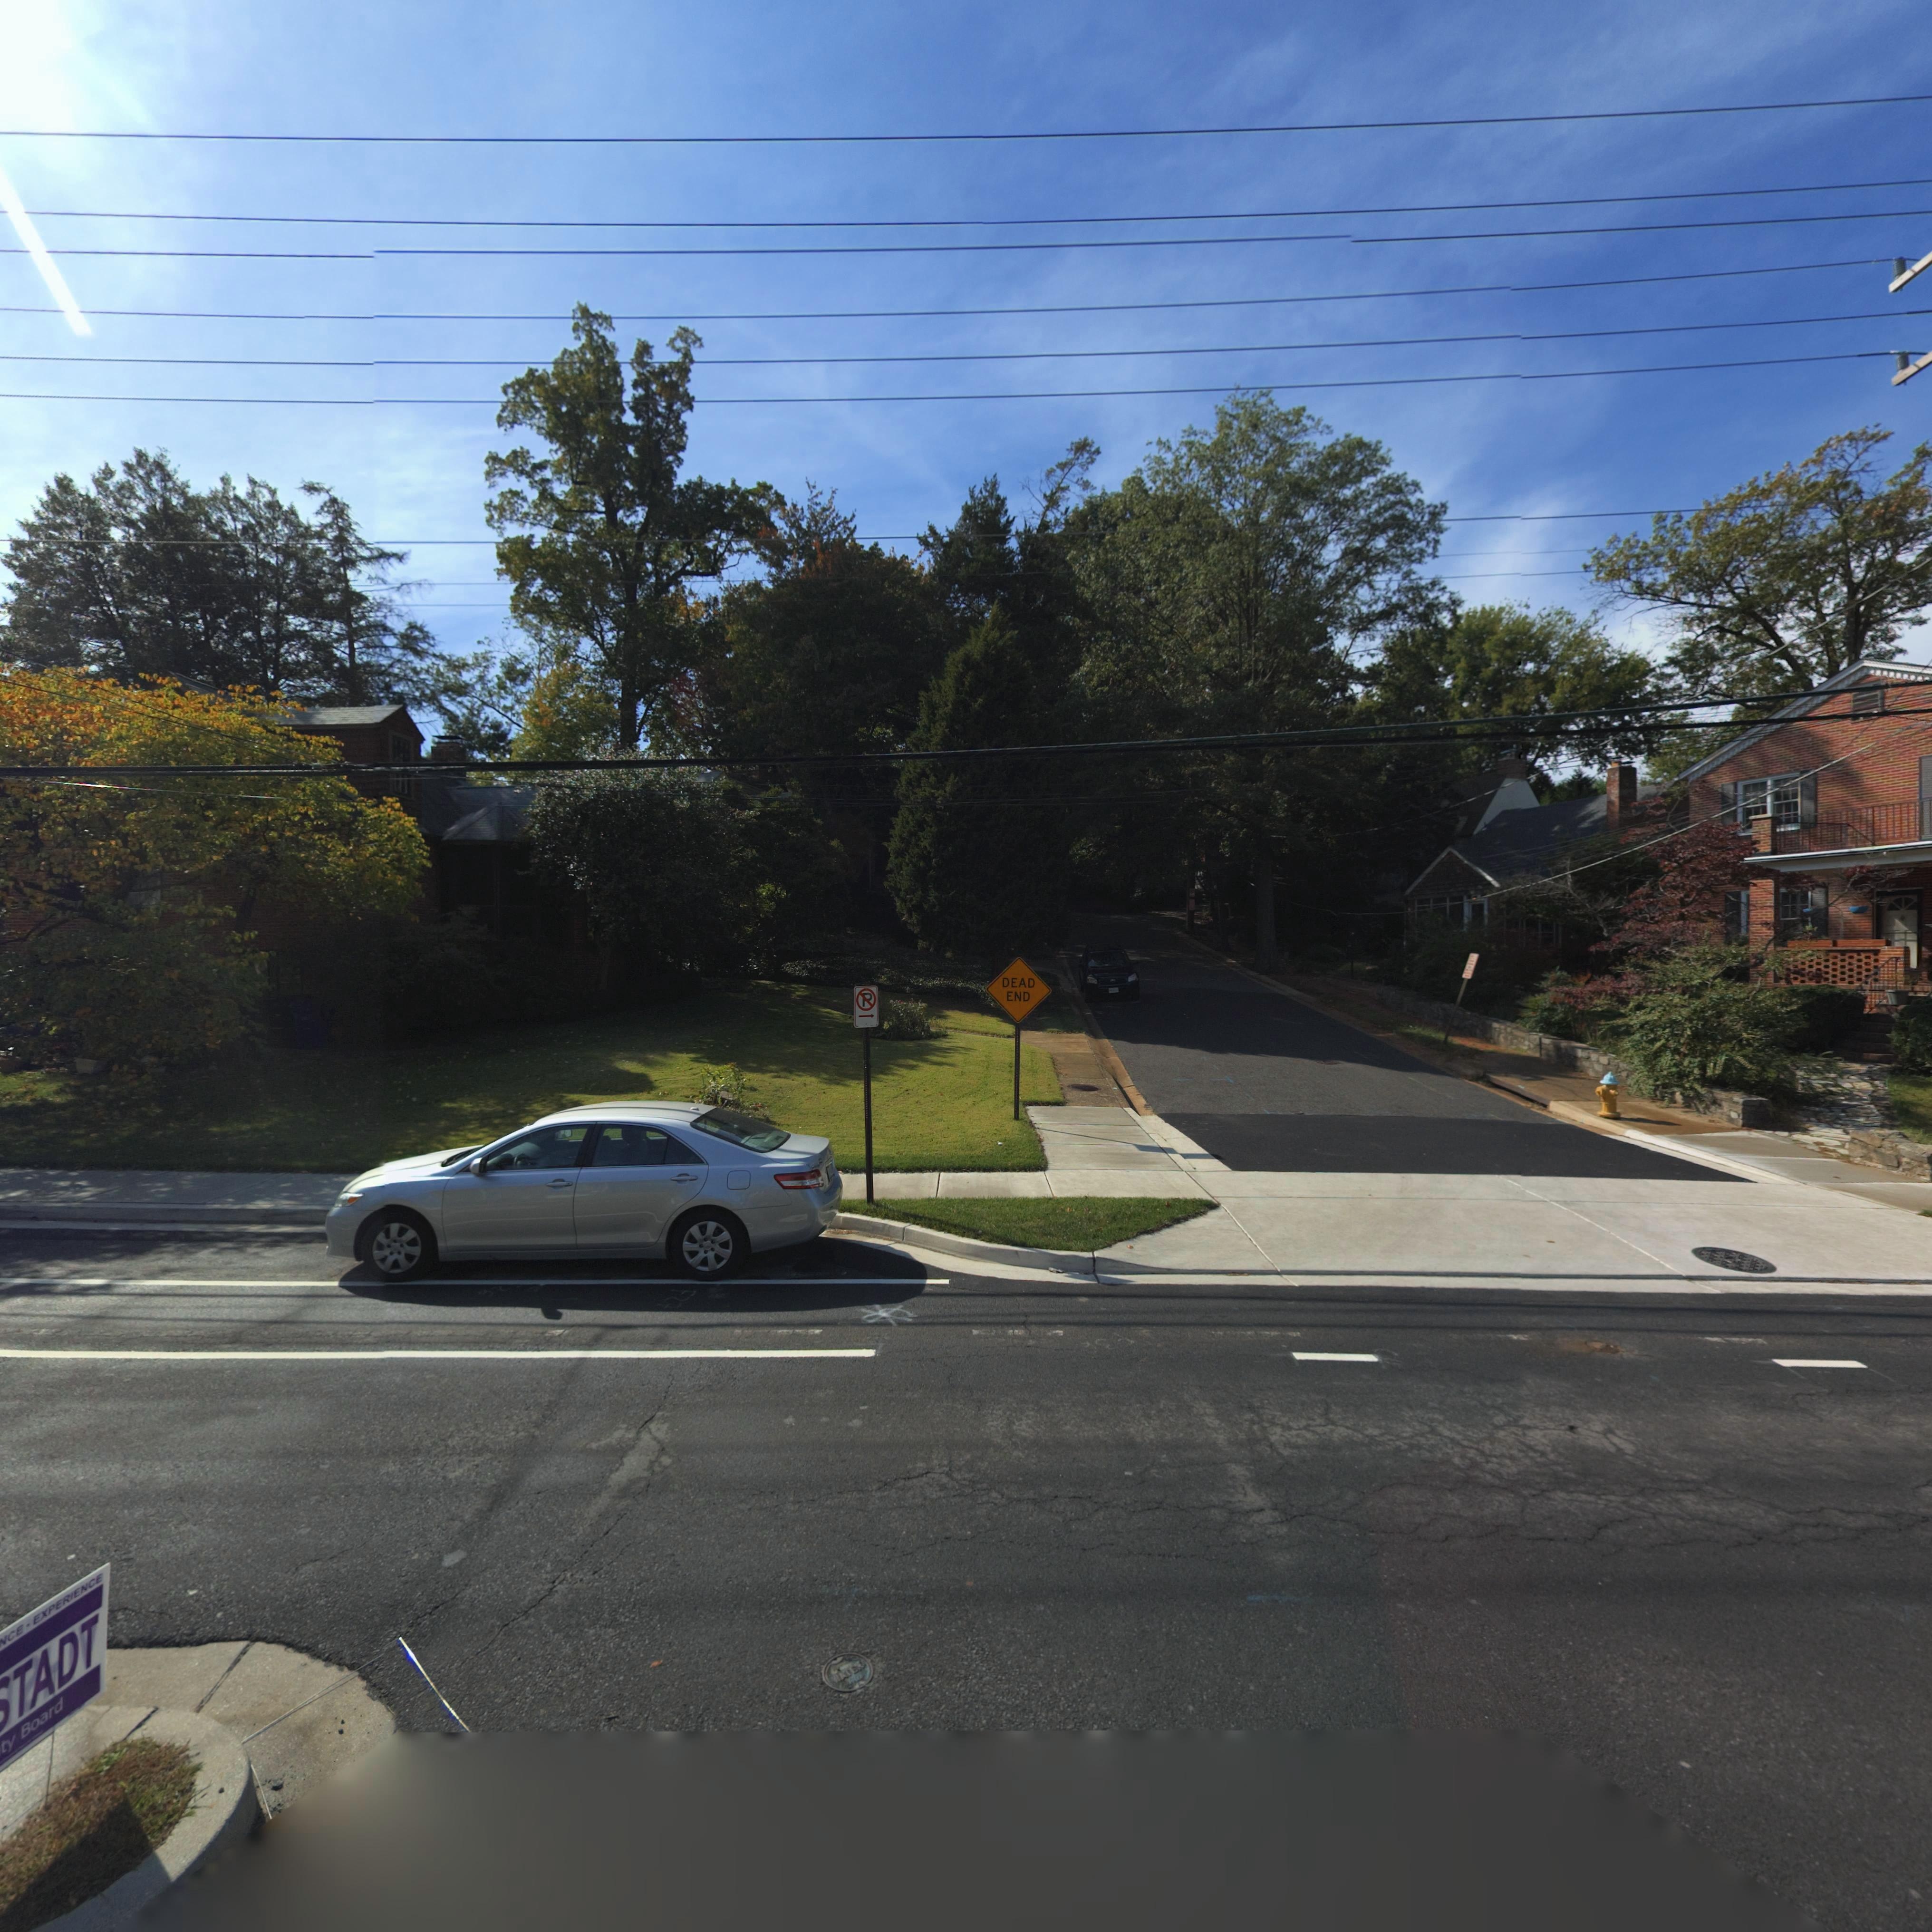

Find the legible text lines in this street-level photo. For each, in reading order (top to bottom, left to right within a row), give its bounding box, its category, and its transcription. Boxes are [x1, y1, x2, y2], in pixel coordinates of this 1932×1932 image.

[1006, 991, 1030, 1002] None: END
[1002, 977, 1035, 988] None: DEAD
[7, 1572, 103, 1643] None: CE * EXPERIENCE
[10, 1612, 100, 1720] None: TADT
[0, 1695, 64, 1754] None: ty Board